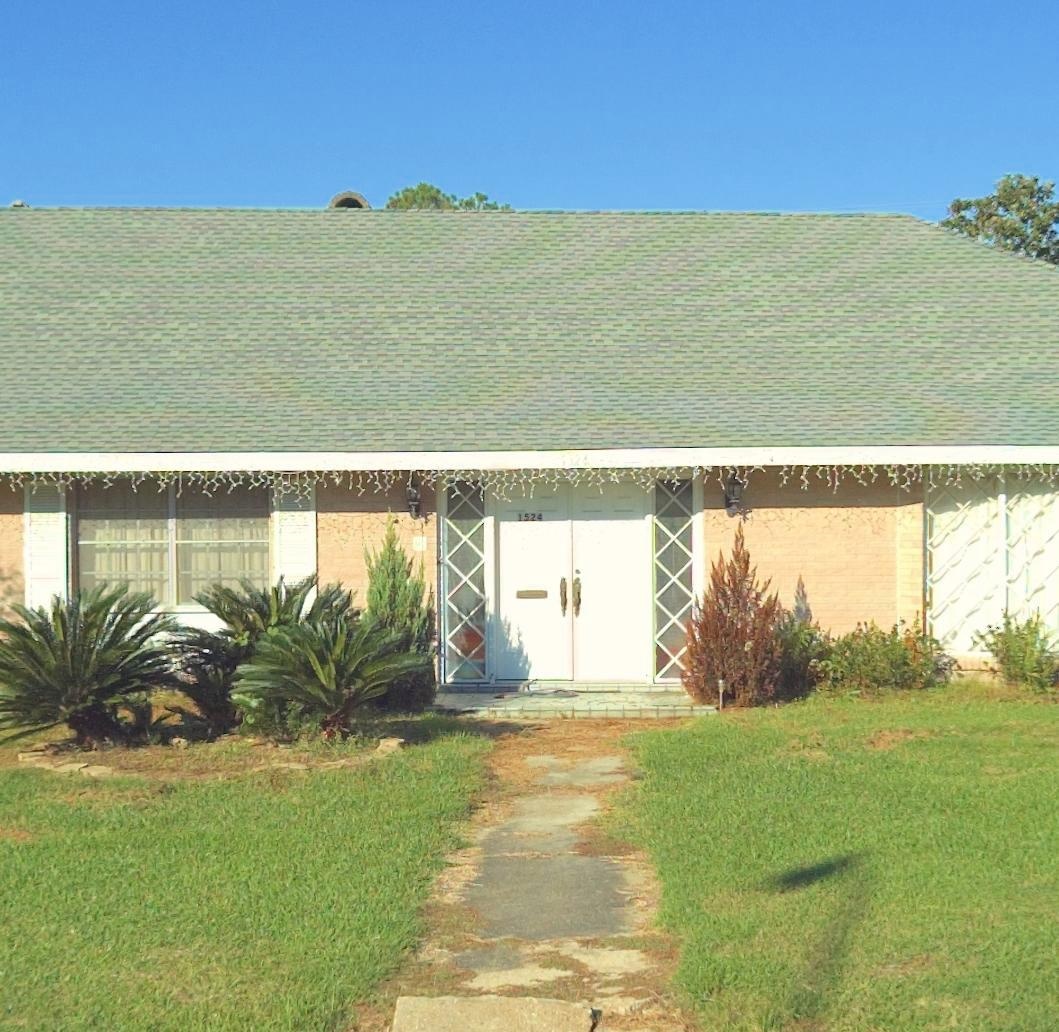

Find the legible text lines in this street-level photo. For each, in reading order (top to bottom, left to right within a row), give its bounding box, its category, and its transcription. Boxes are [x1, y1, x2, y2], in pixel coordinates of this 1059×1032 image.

[515, 511, 545, 523] StreetNumber: 1524